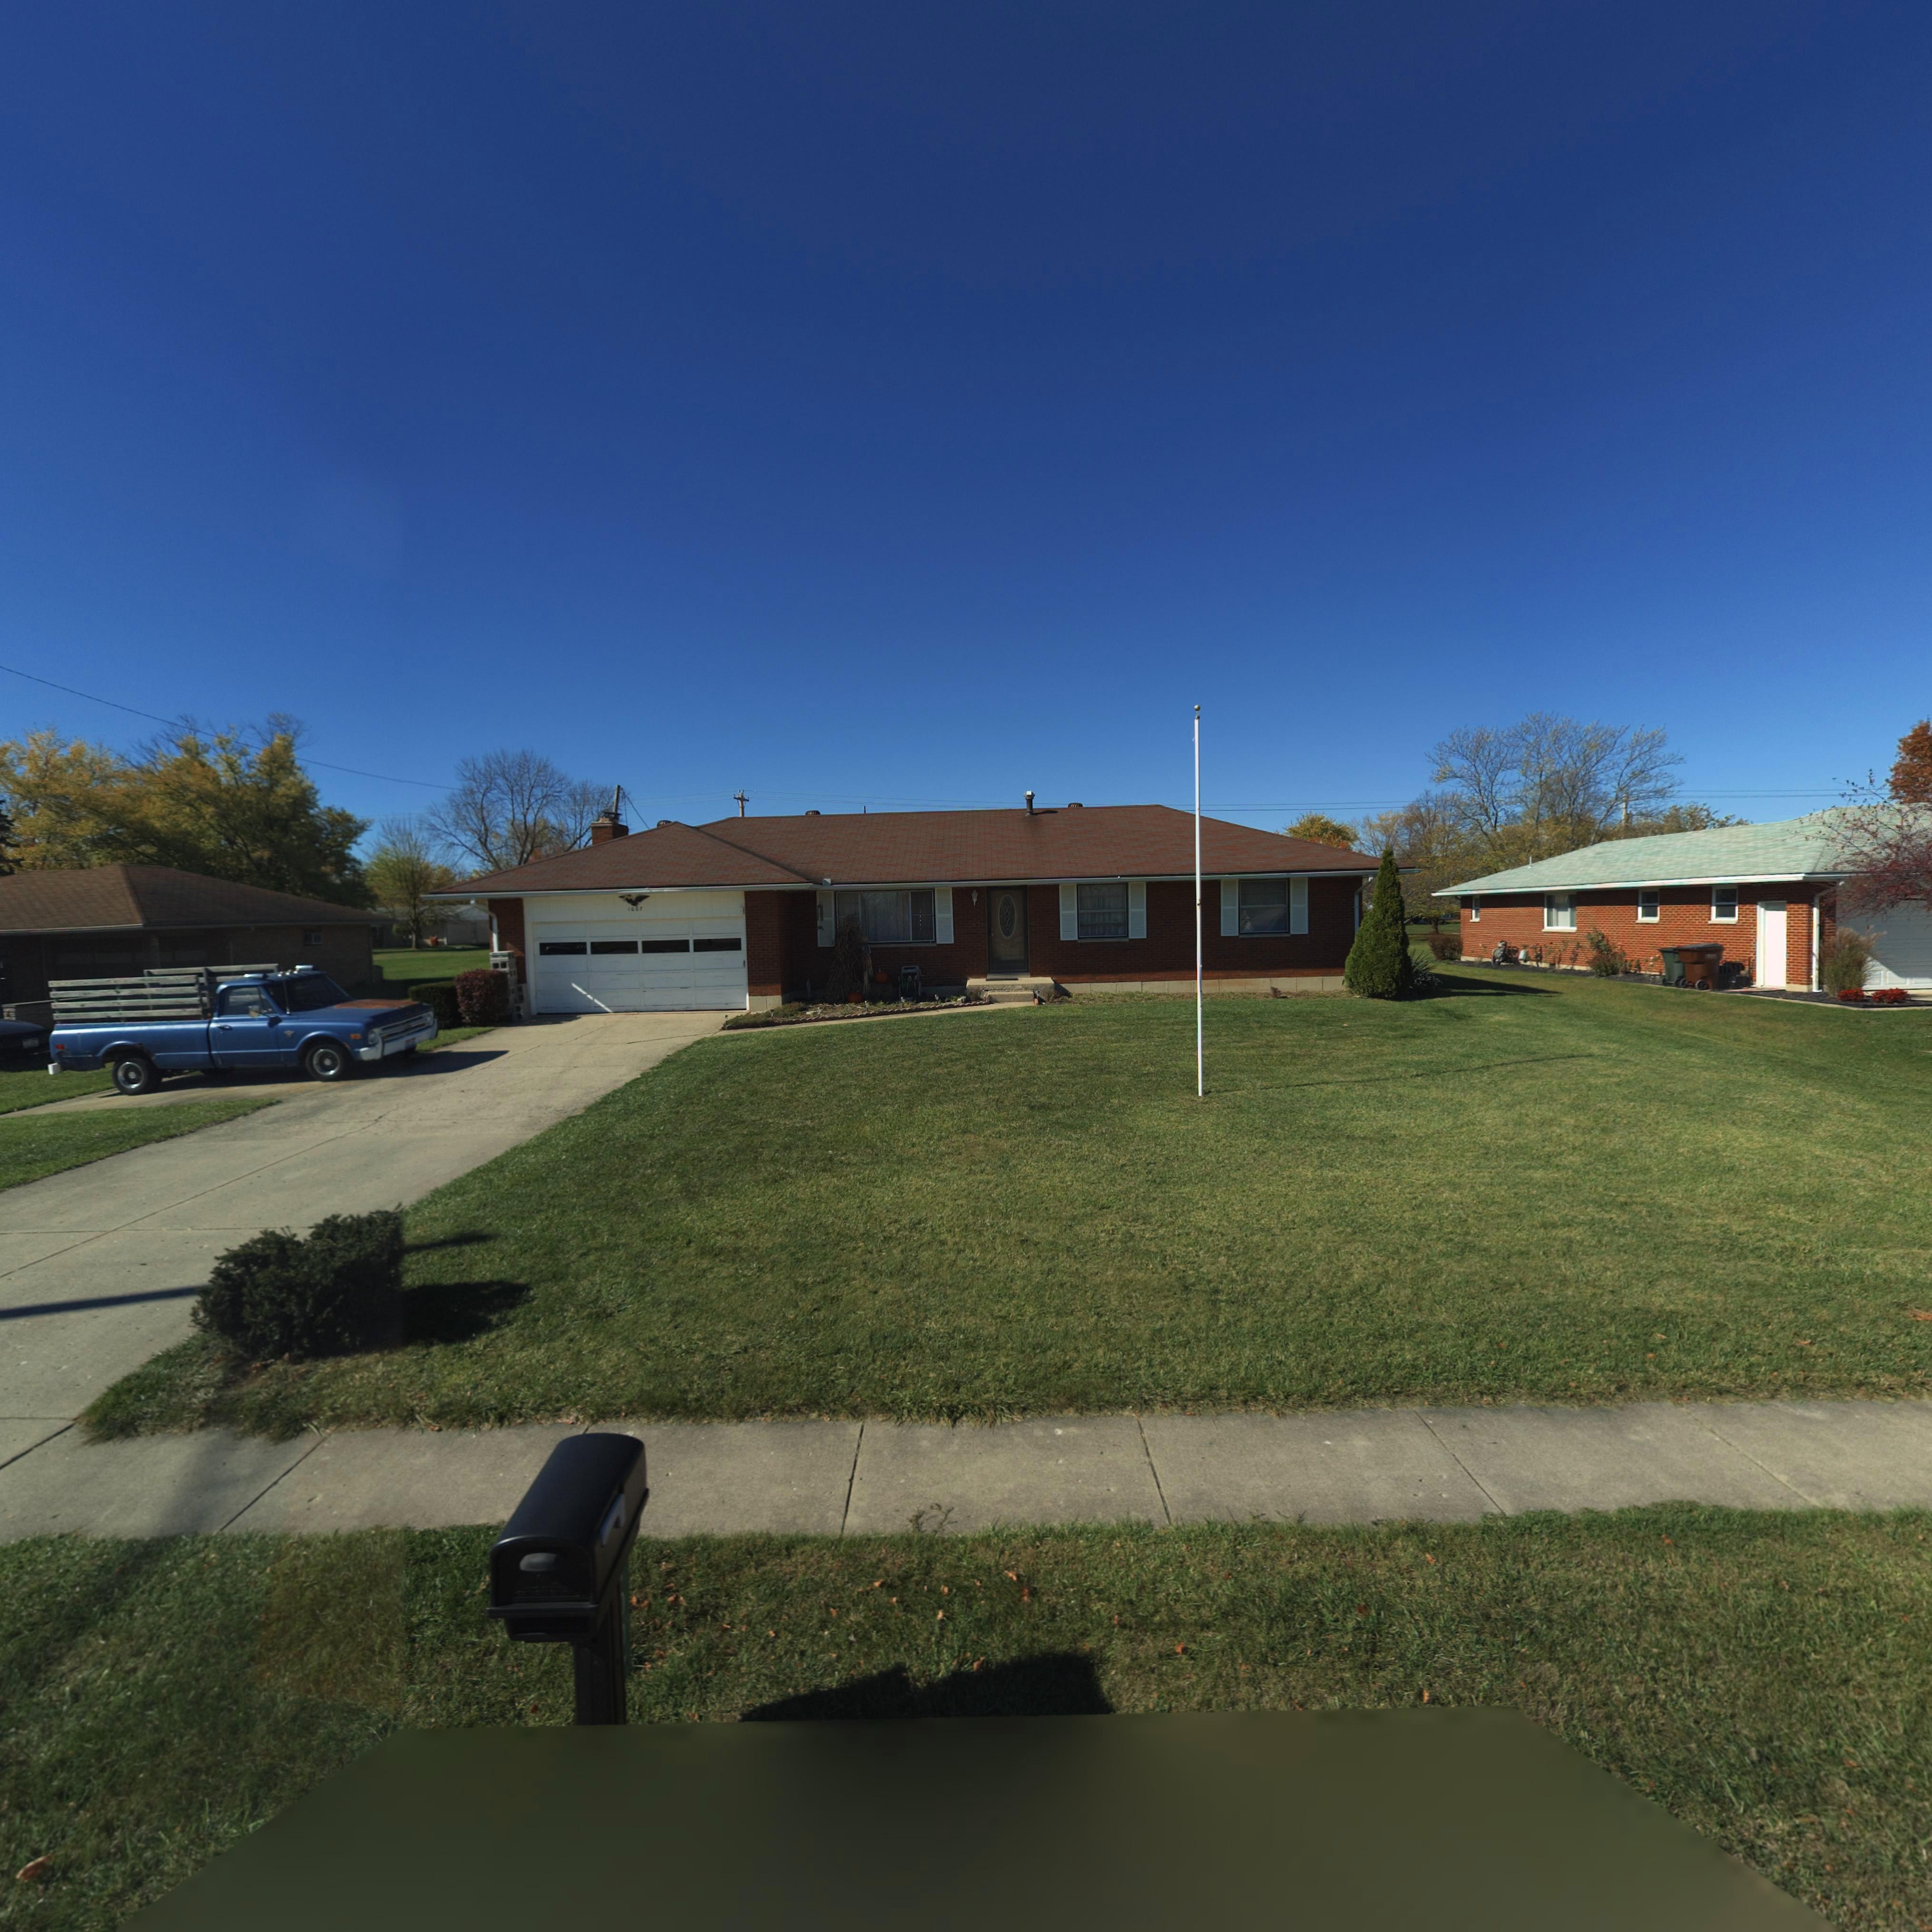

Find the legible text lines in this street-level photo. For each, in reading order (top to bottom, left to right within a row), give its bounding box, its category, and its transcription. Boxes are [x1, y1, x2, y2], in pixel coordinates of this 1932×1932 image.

[627, 905, 644, 913] StreetNumber: 1007